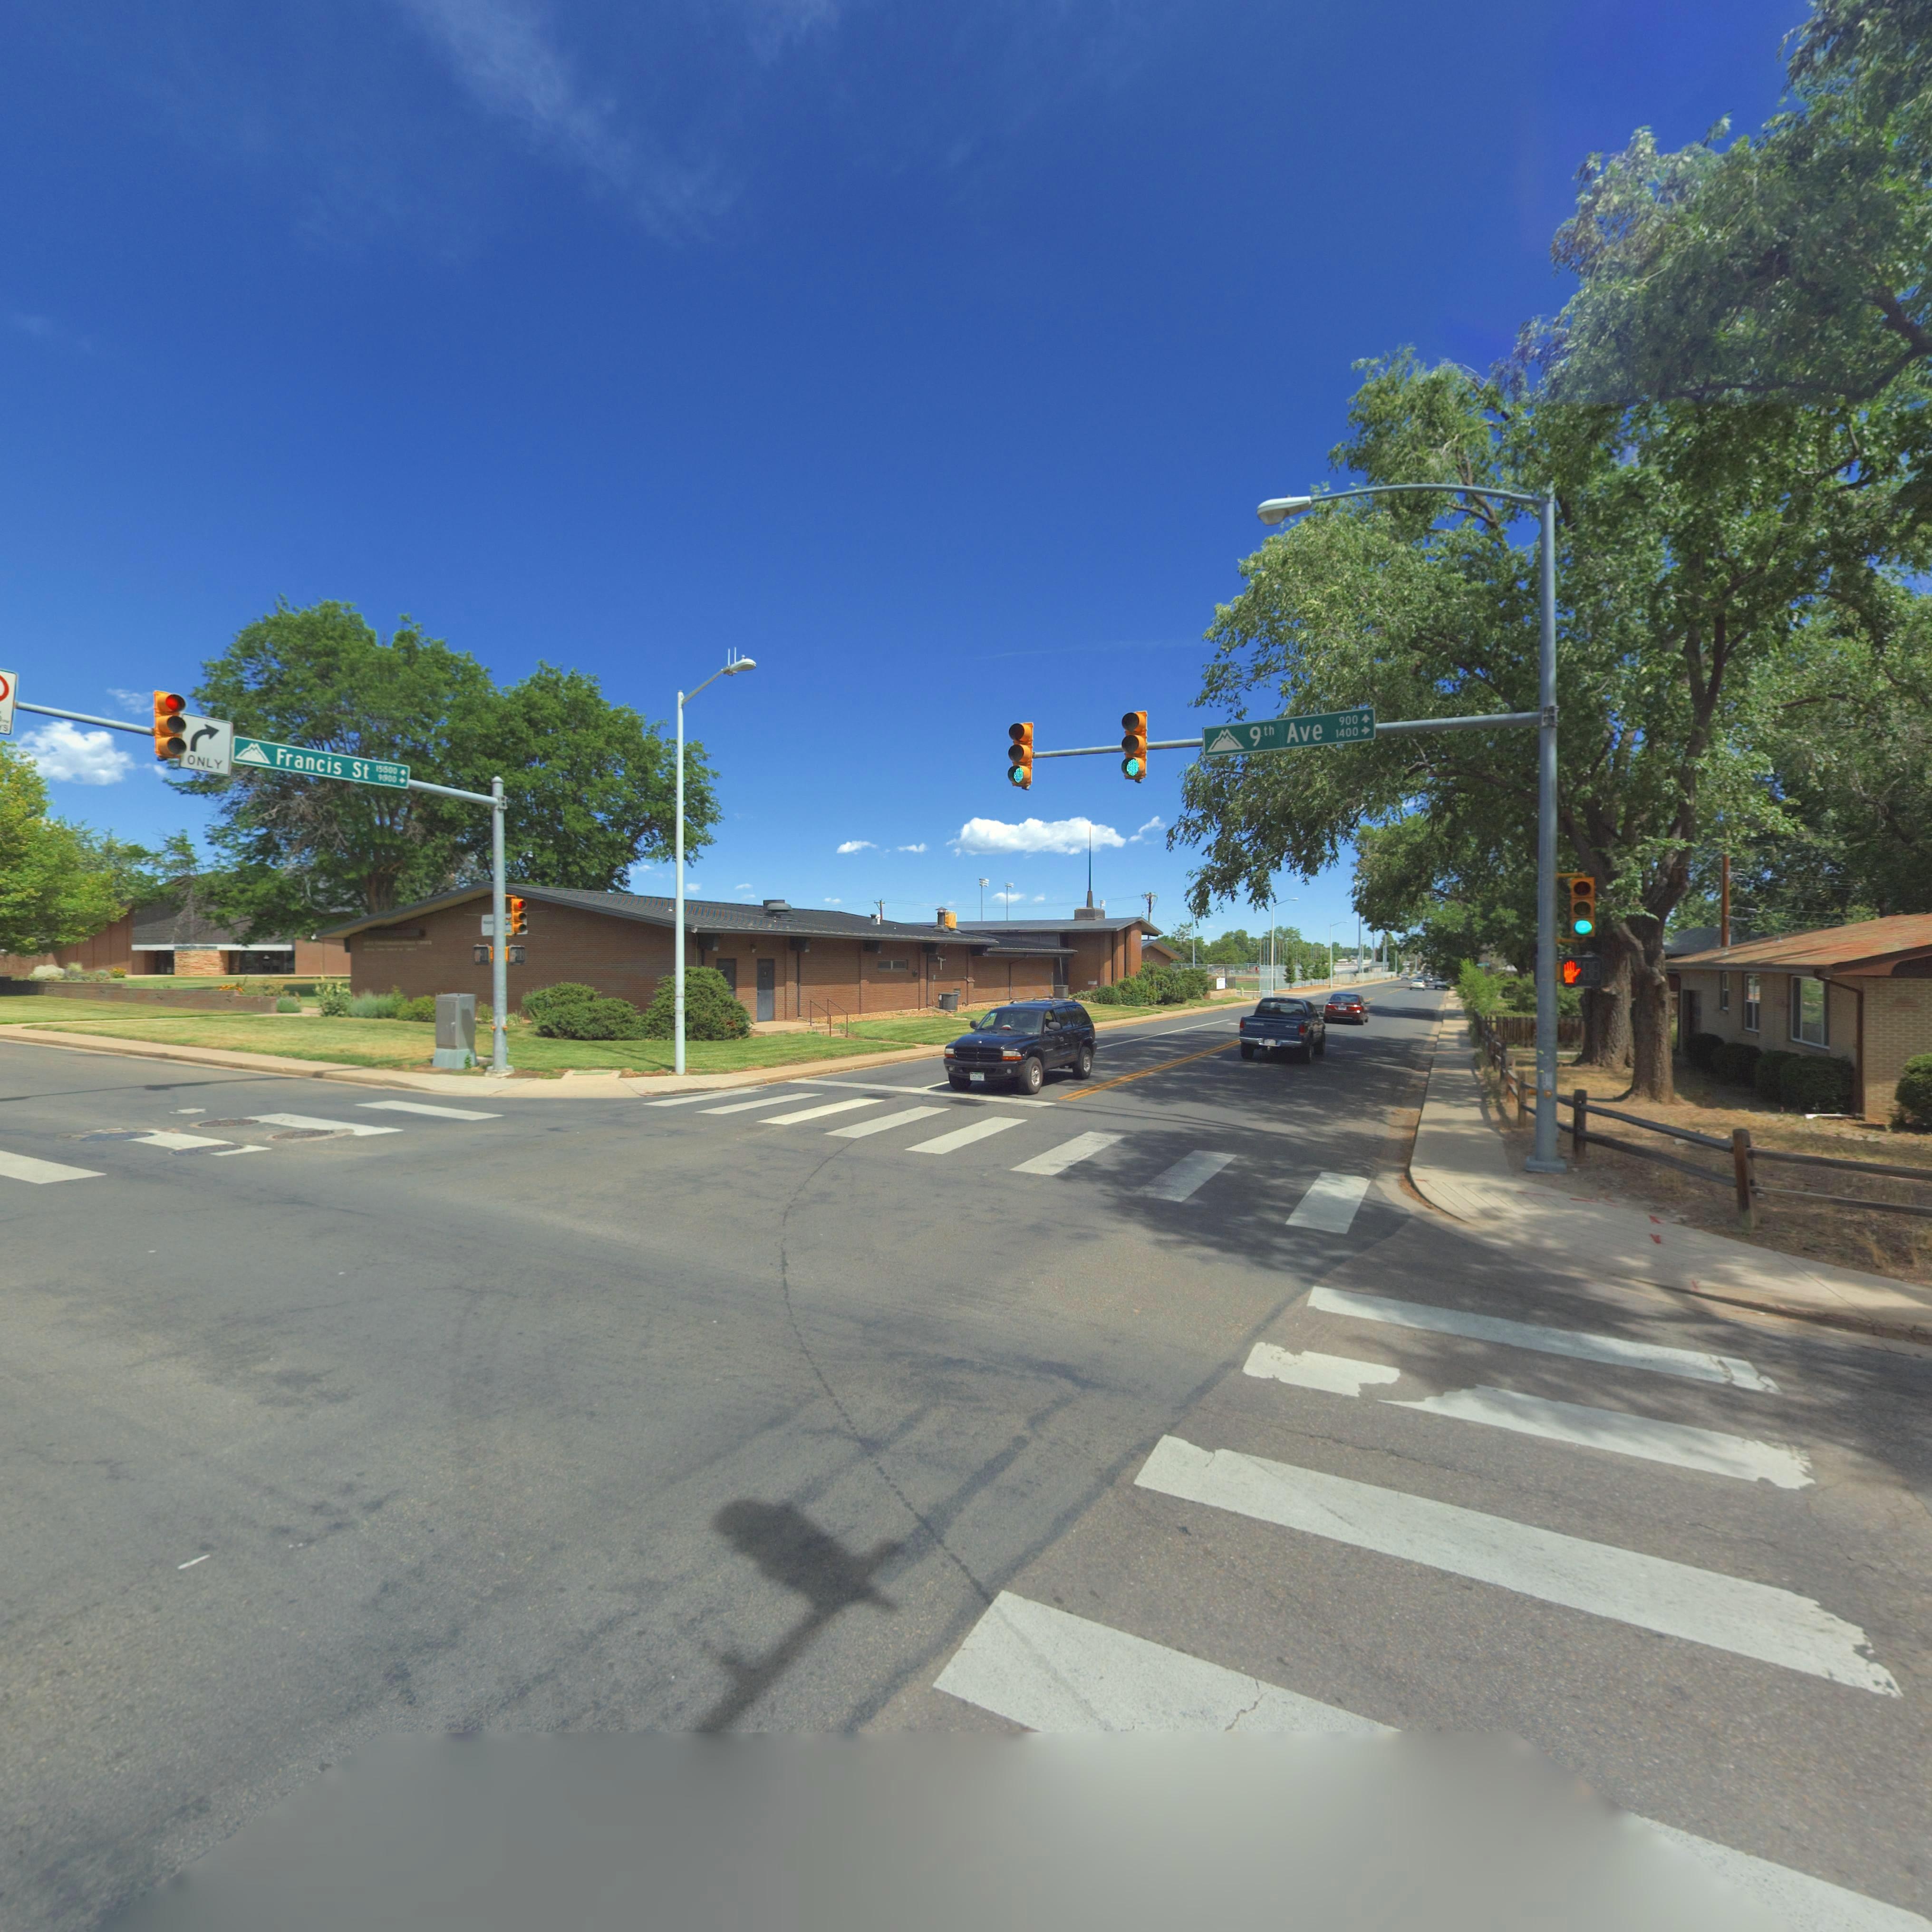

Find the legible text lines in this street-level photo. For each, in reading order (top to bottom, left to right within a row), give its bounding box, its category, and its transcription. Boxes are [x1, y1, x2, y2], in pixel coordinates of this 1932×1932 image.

[1339, 715, 1358, 725] StreetNumberRange: 900
[1248, 722, 1323, 747] StreetName: 9th Ave
[1335, 724, 1371, 738] StreetNumberRange: 1400 ->
[276, 747, 369, 780] StreetName: Francis St
[376, 764, 398, 775] StreetNumberRange: 15*00
[377, 773, 406, 784] StreetNumberRange: 9*00 ->